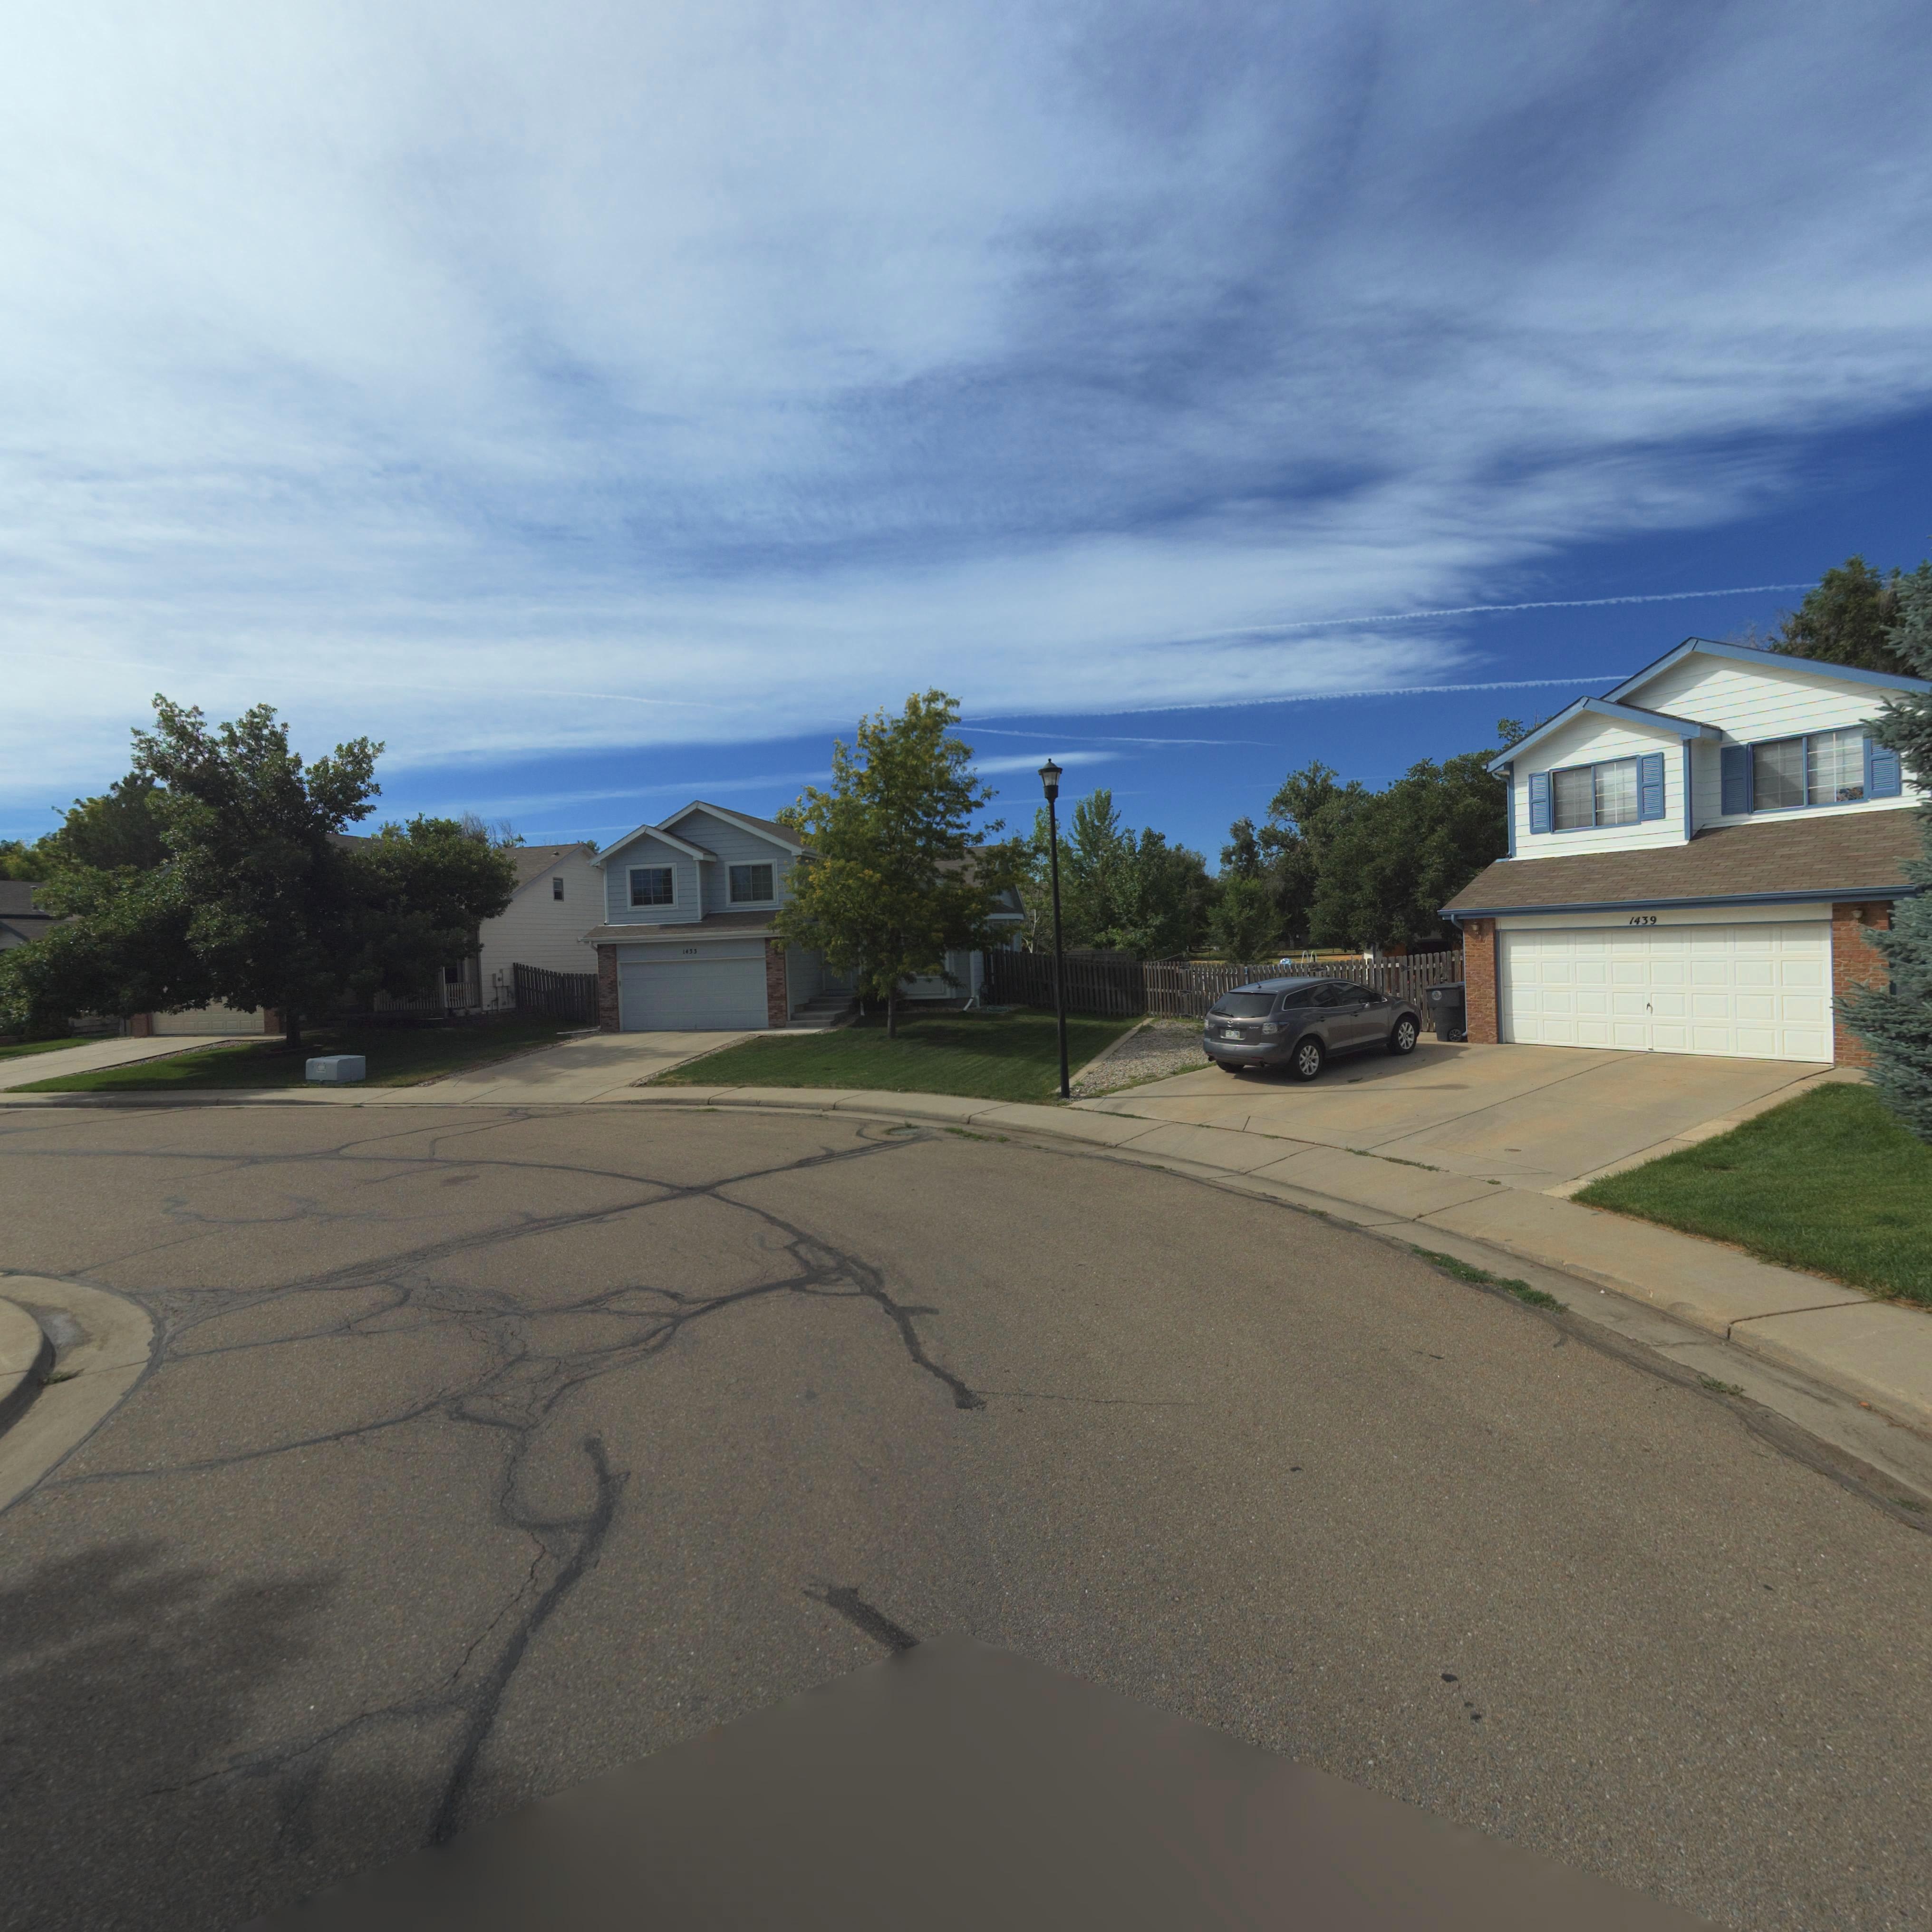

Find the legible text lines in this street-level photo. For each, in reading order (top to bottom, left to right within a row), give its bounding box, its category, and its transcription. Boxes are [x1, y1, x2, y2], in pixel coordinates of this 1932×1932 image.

[1628, 915, 1657, 926] StreetNumber: 1439
[682, 948, 697, 955] StreetNumber: 1433